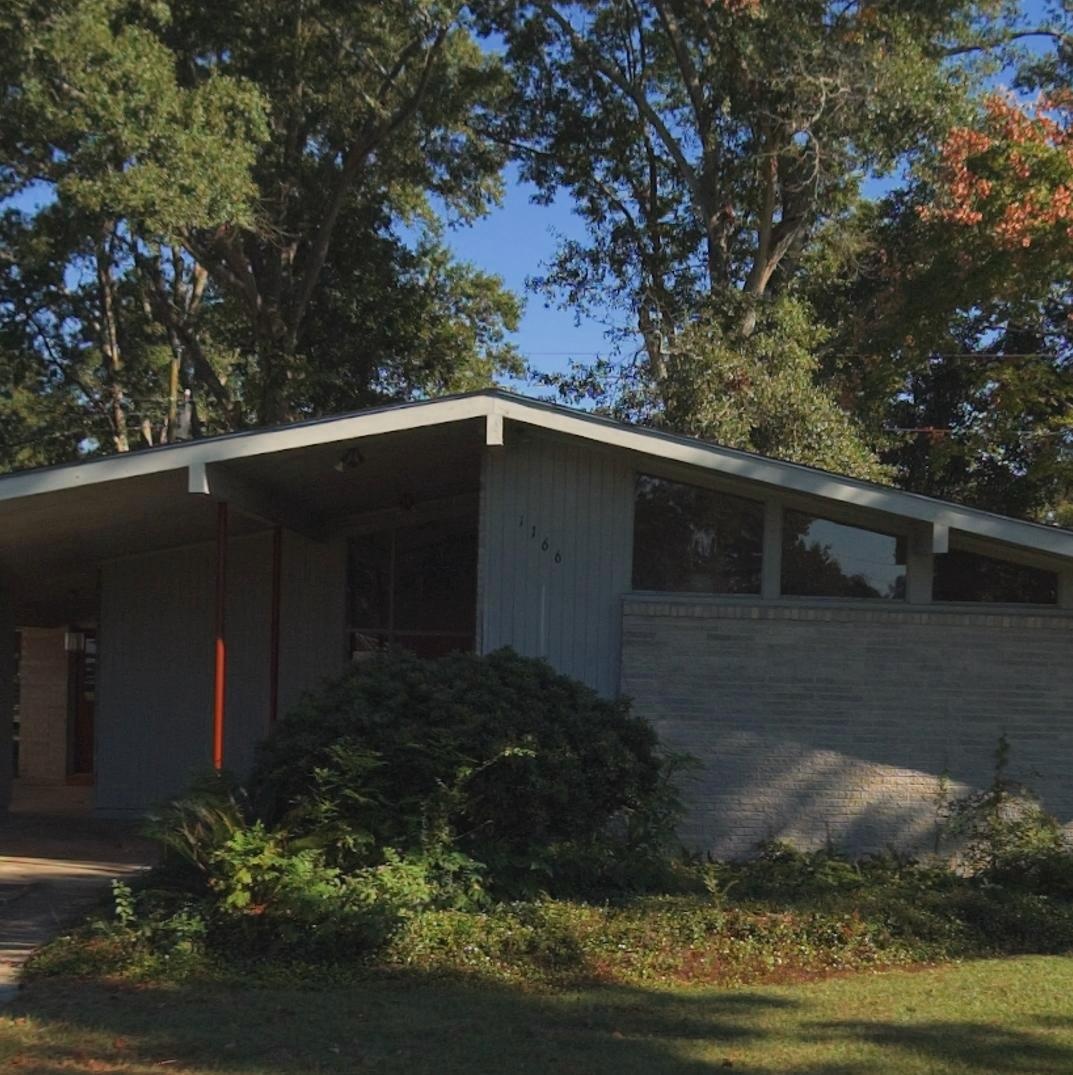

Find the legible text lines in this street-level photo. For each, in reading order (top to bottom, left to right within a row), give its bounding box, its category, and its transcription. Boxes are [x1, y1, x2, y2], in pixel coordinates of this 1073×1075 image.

[517, 513, 563, 569] StreetNumber: 1166